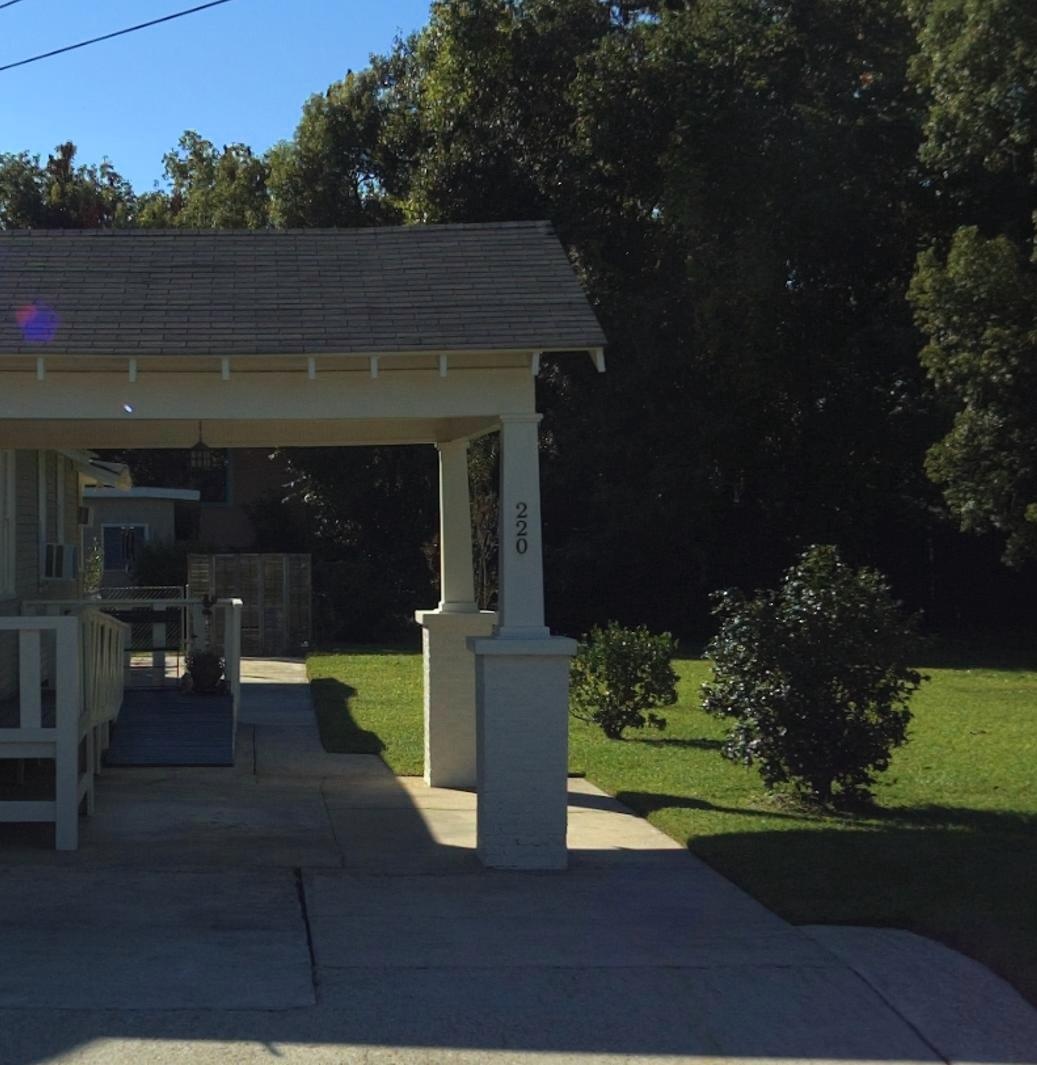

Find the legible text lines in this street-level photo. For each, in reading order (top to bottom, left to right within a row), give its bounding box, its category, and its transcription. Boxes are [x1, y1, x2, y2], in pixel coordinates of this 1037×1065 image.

[513, 500, 531, 557] StreetNumber: 220